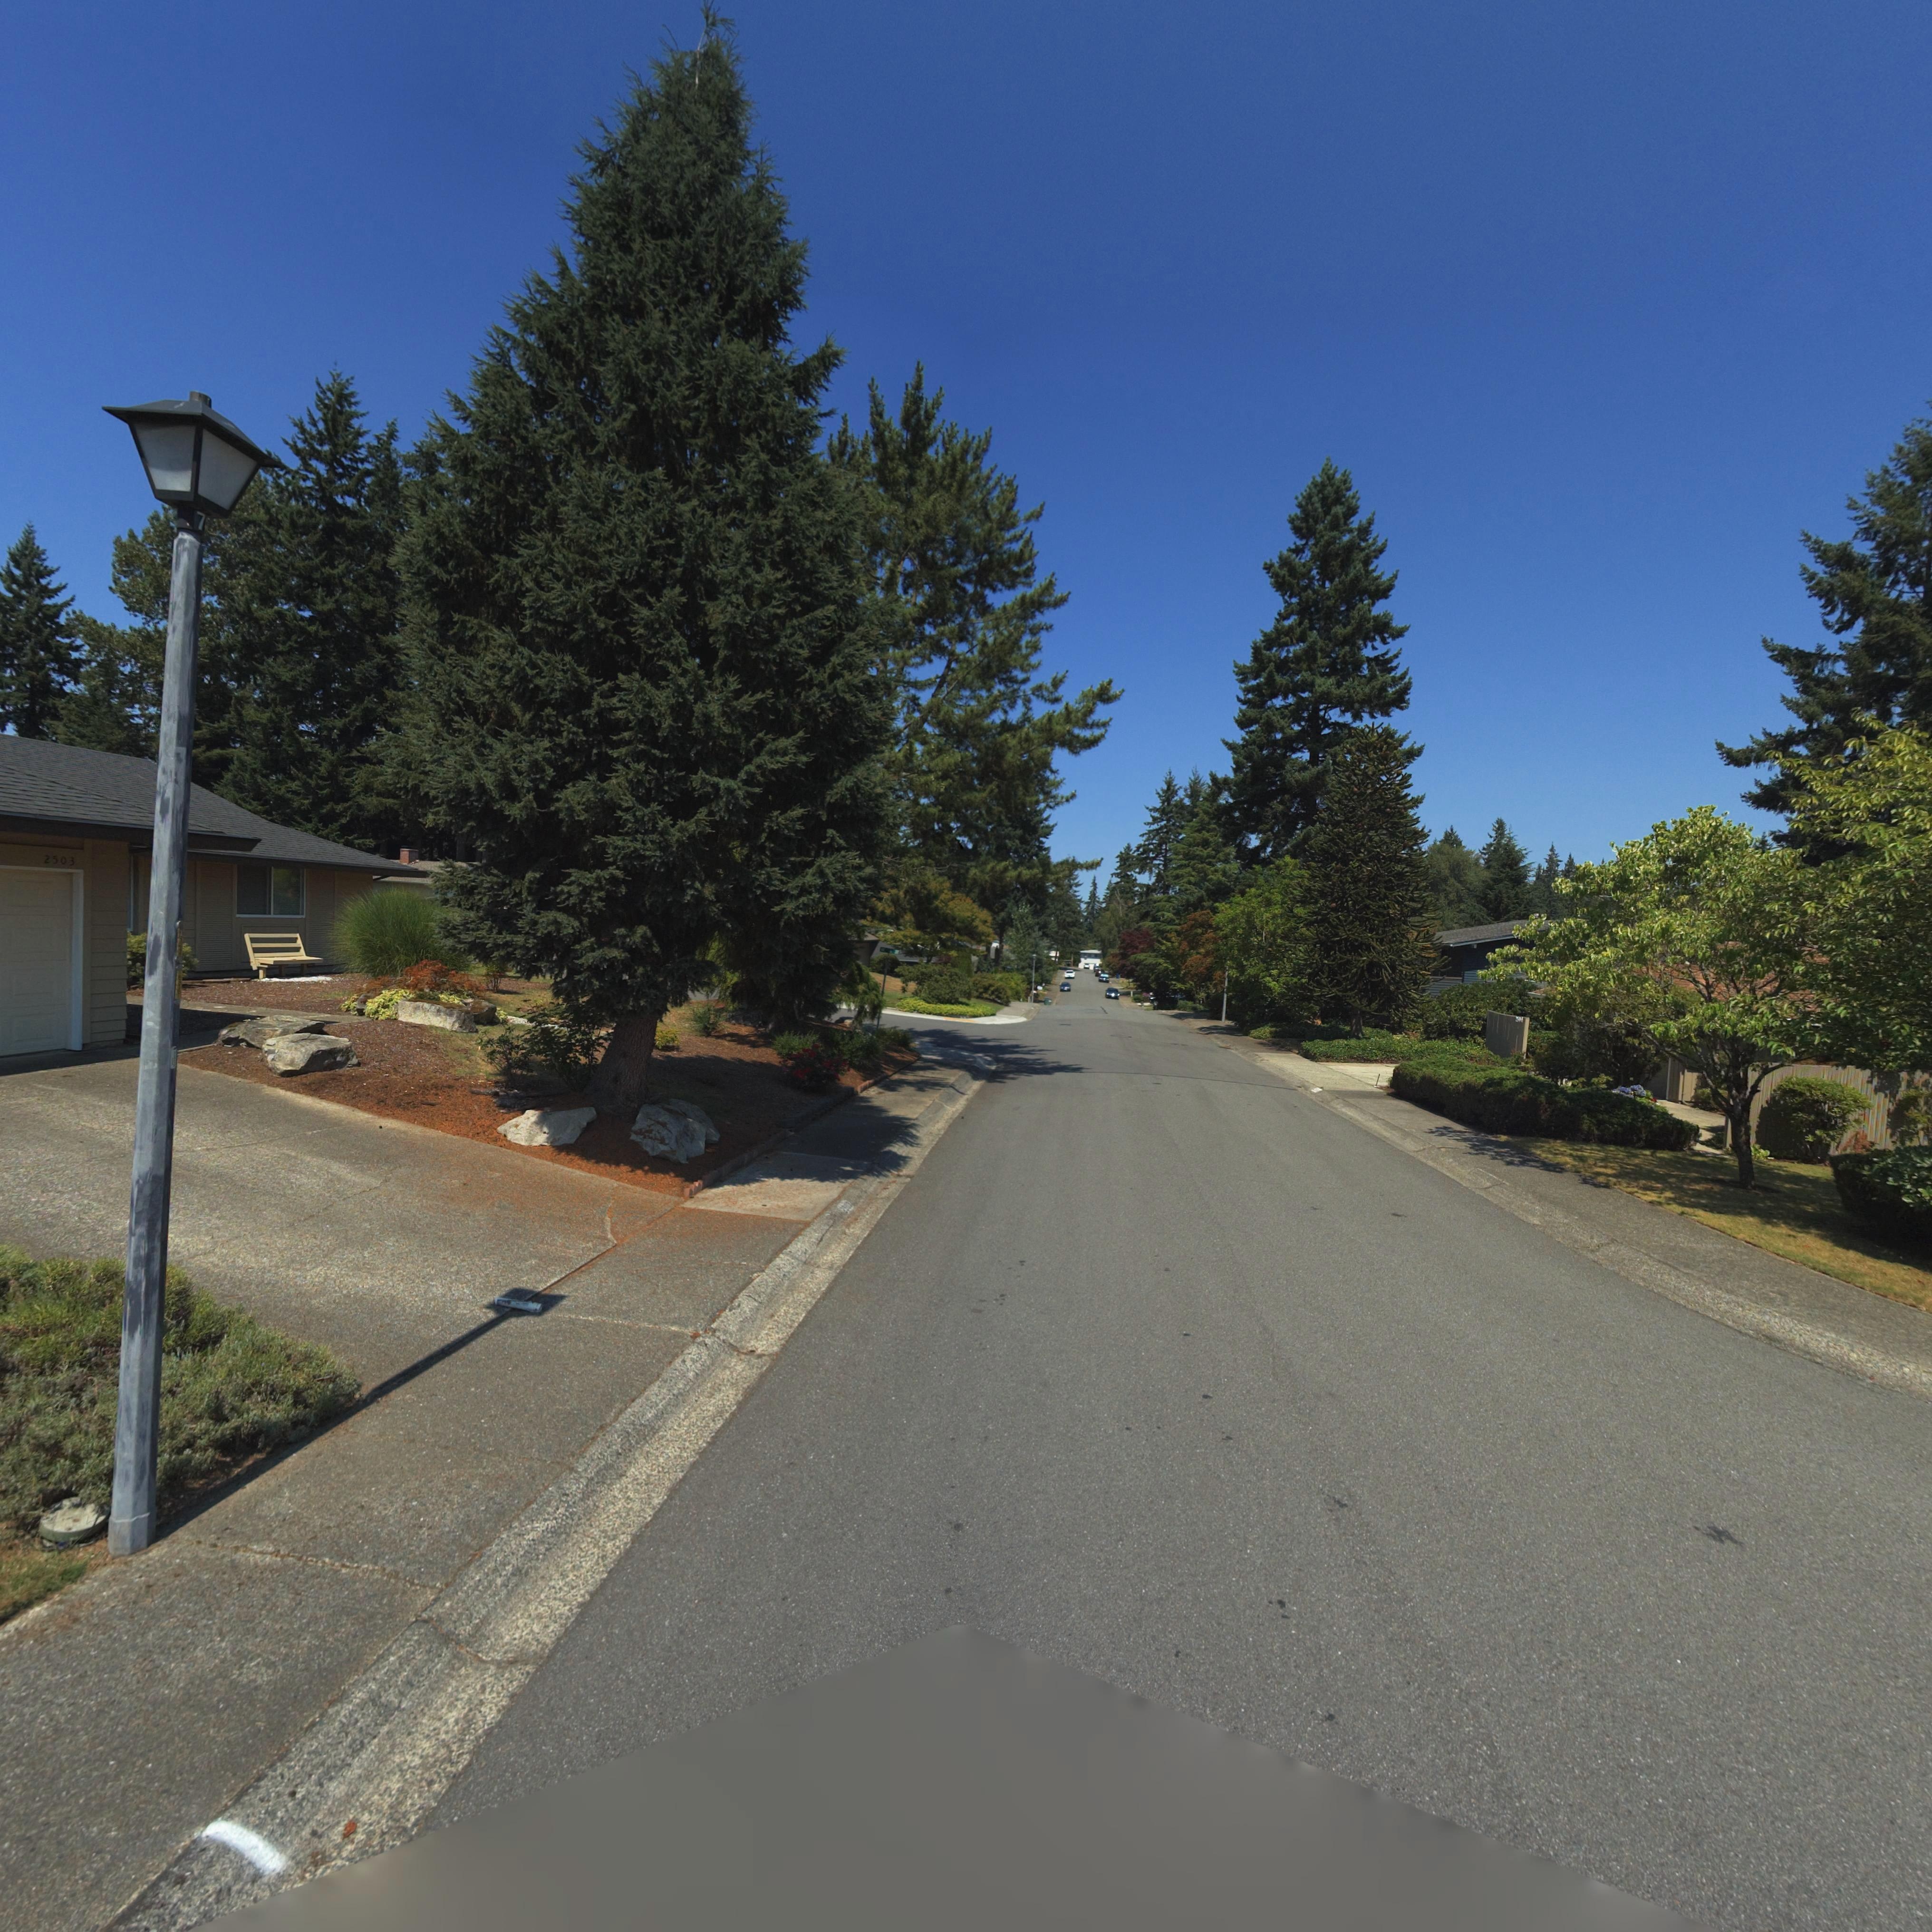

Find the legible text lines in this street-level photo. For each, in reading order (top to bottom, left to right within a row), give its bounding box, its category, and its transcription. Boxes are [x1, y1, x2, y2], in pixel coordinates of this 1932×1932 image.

[43, 855, 74, 866] StreetNumber: 2503